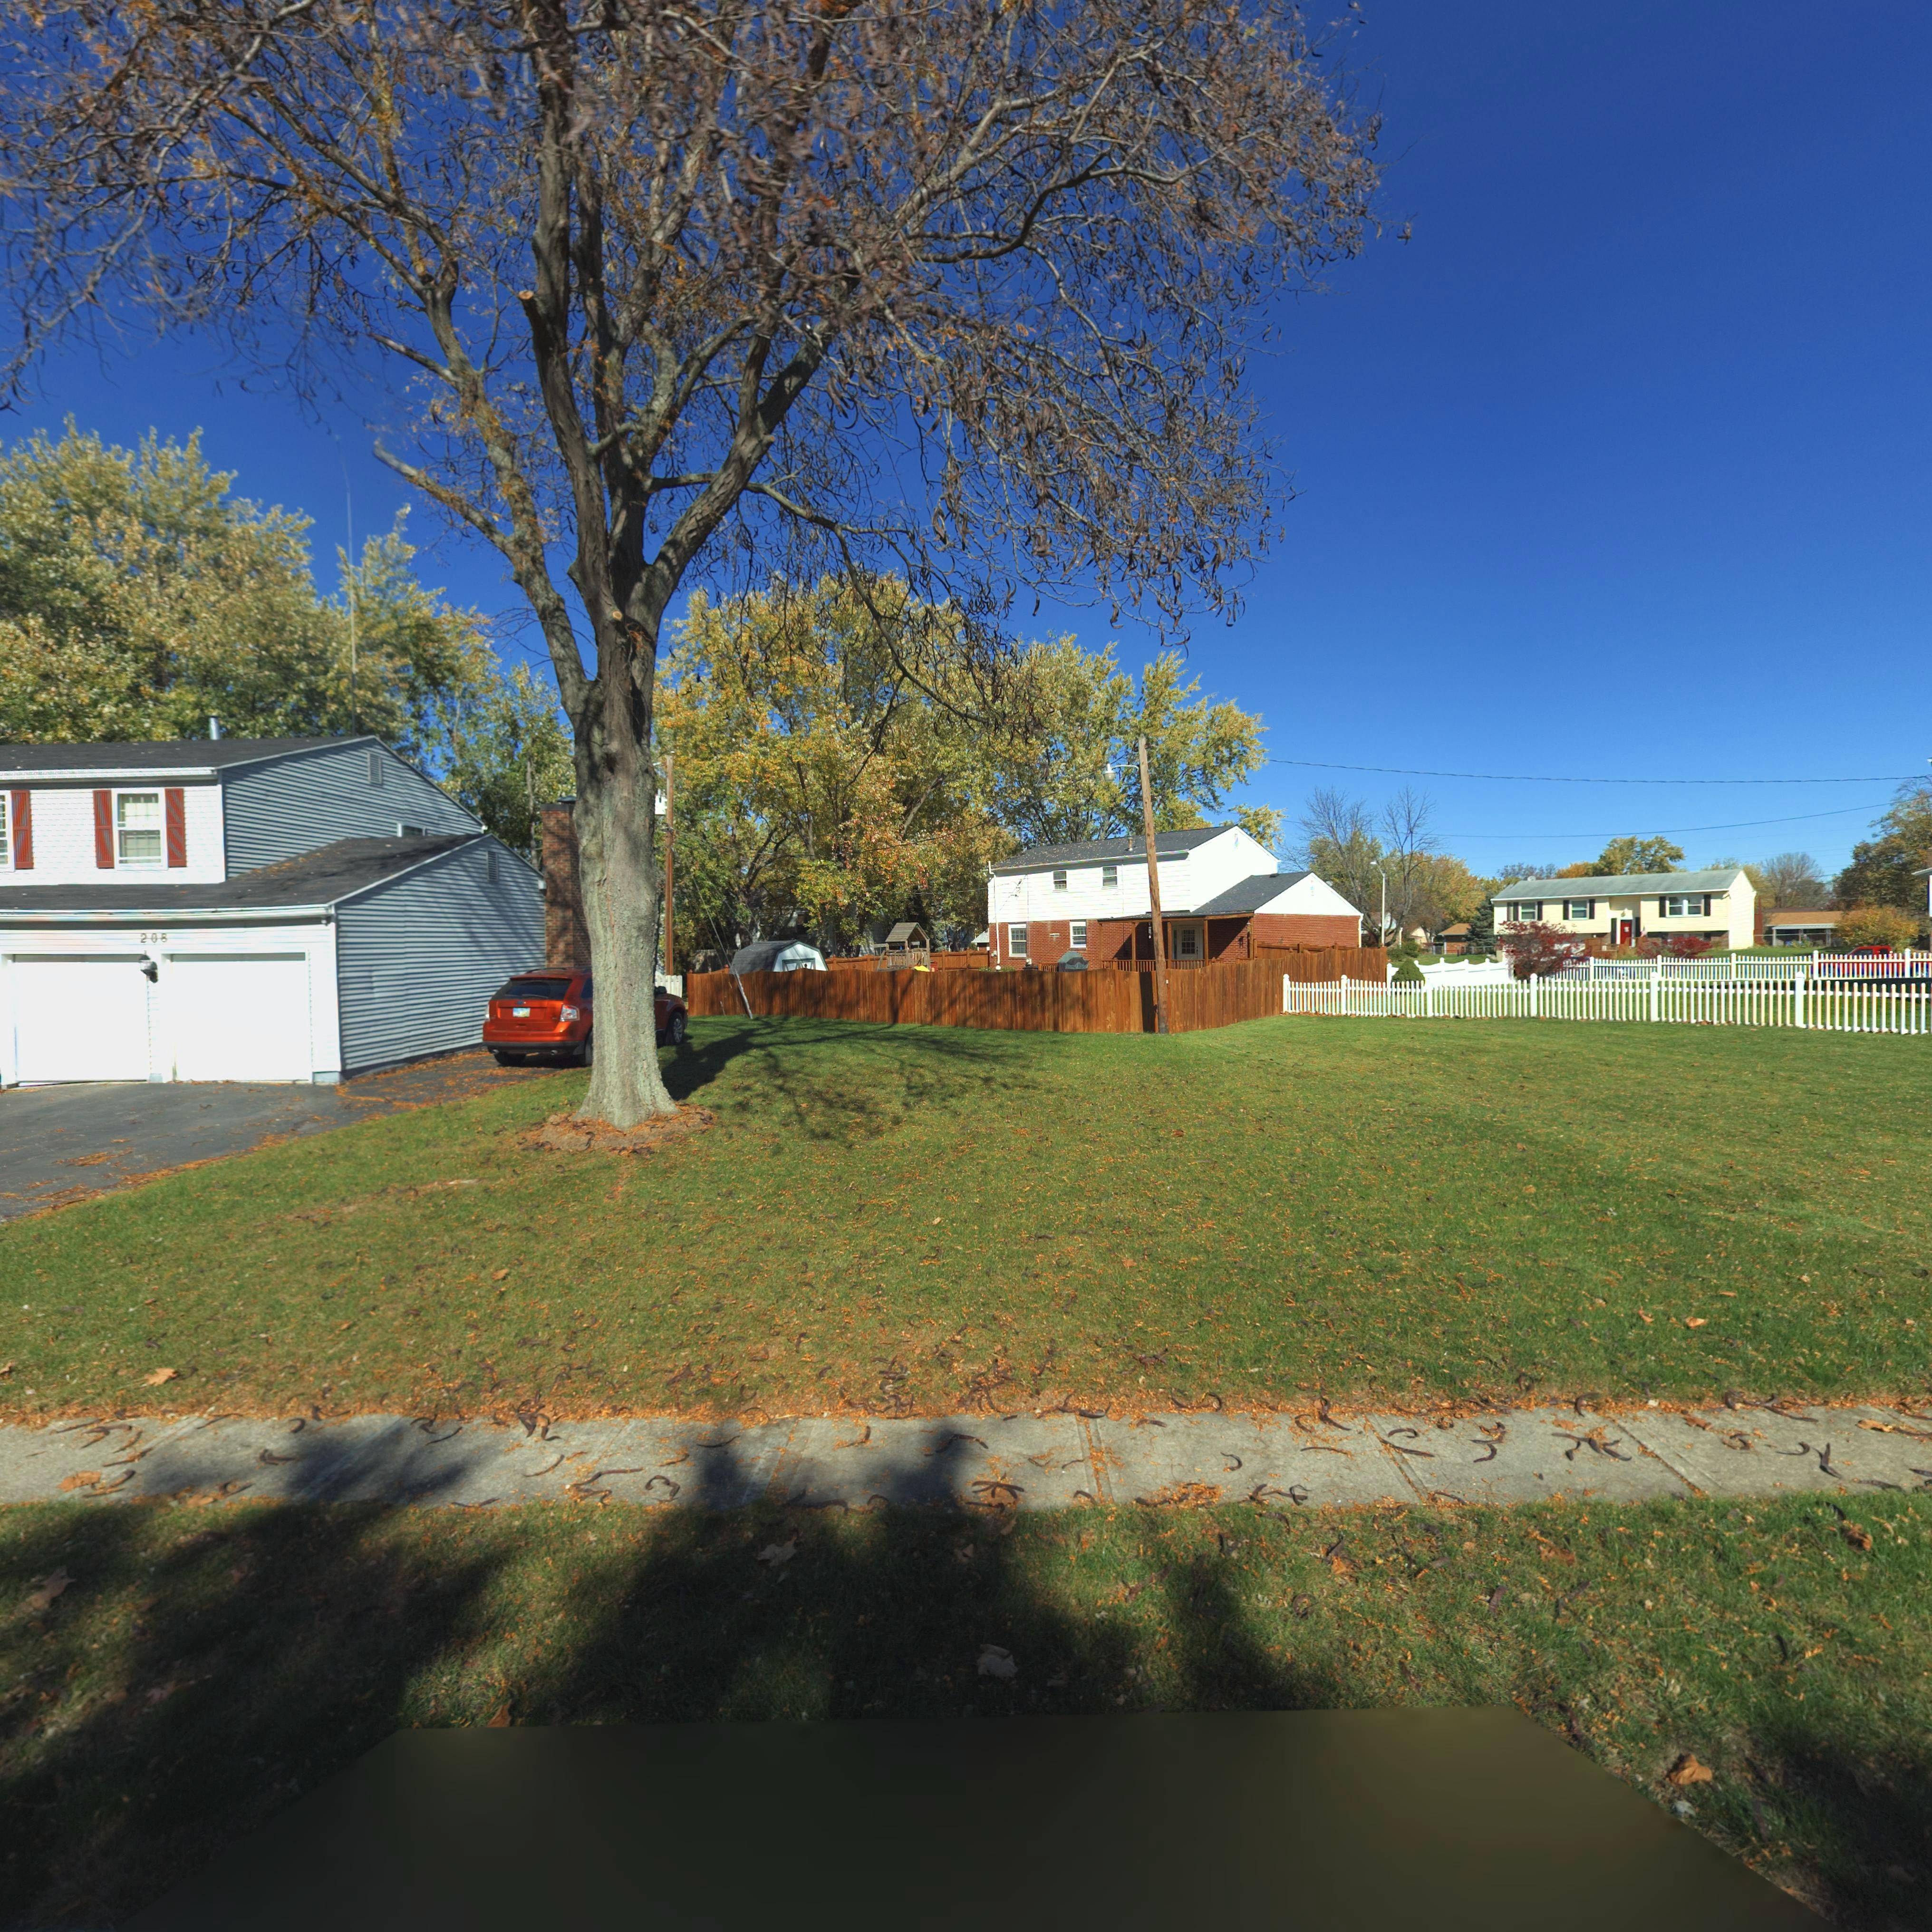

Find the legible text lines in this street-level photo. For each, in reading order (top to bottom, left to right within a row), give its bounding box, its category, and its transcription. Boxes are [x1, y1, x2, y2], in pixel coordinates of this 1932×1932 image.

[139, 932, 168, 944] StreetNumber: 208